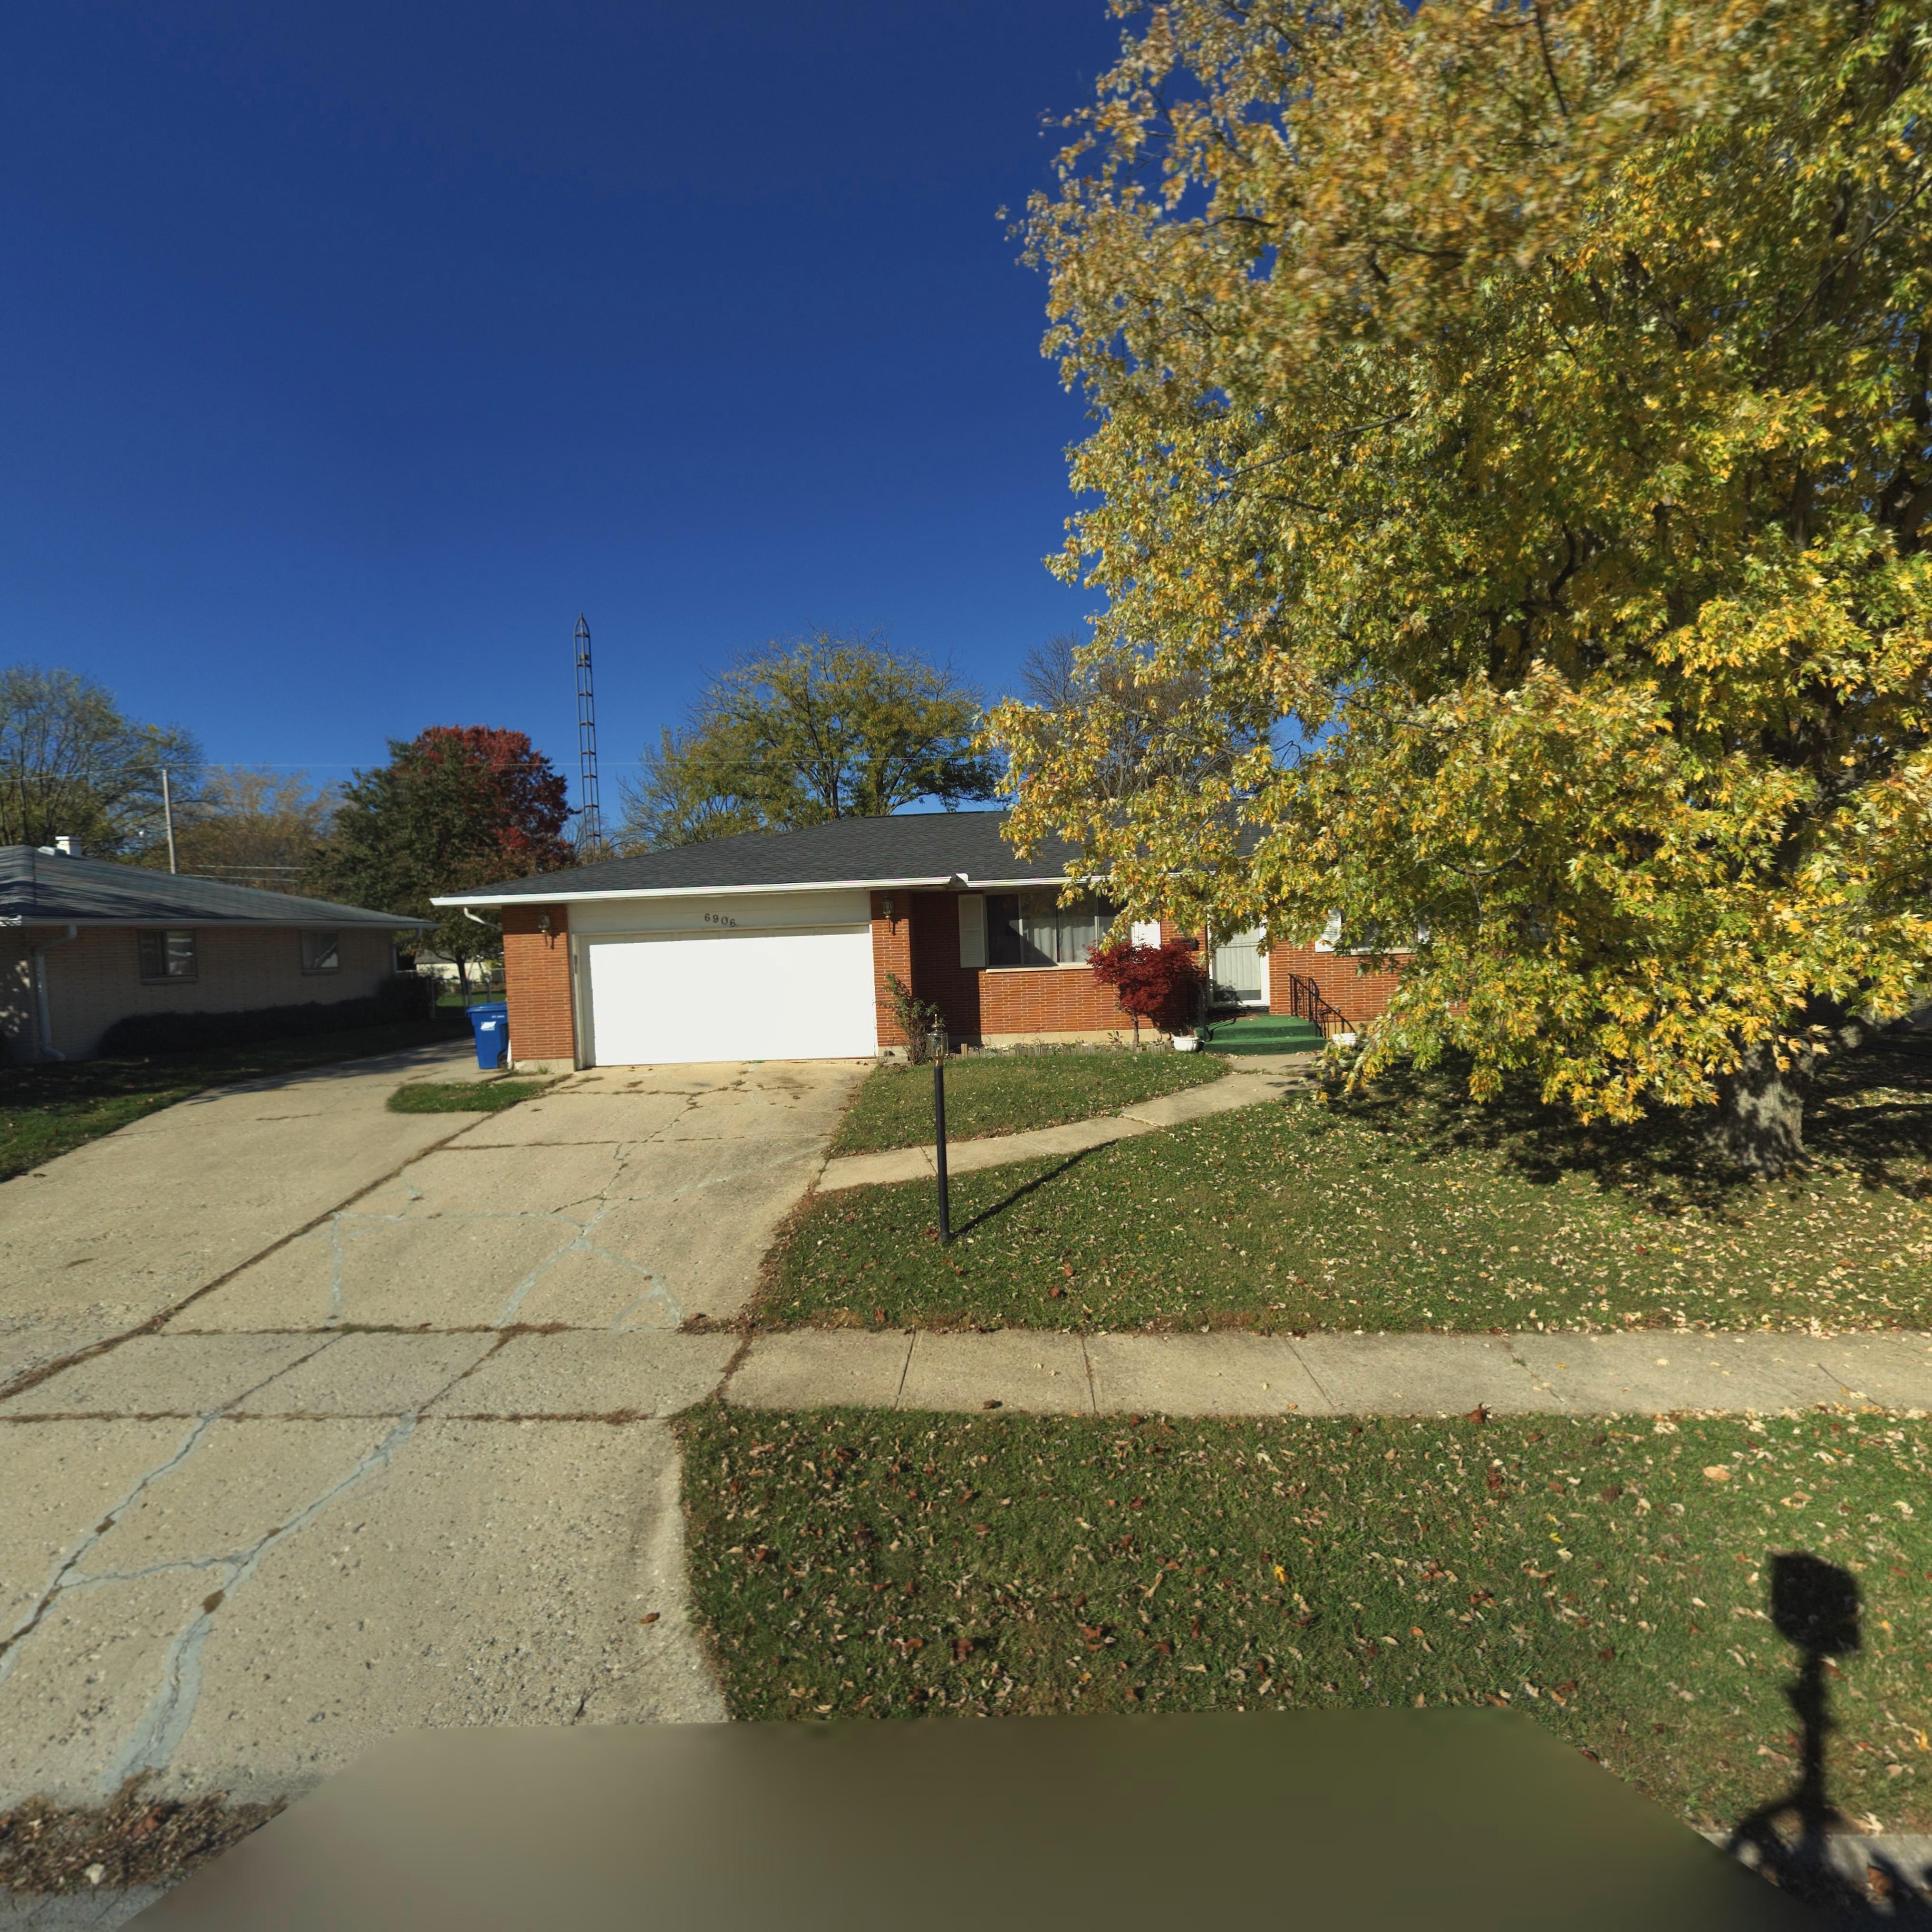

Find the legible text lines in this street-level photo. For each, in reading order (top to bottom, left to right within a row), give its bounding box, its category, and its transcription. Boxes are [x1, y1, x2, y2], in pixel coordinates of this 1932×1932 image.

[704, 912, 736, 928] StreetNumber: 6906